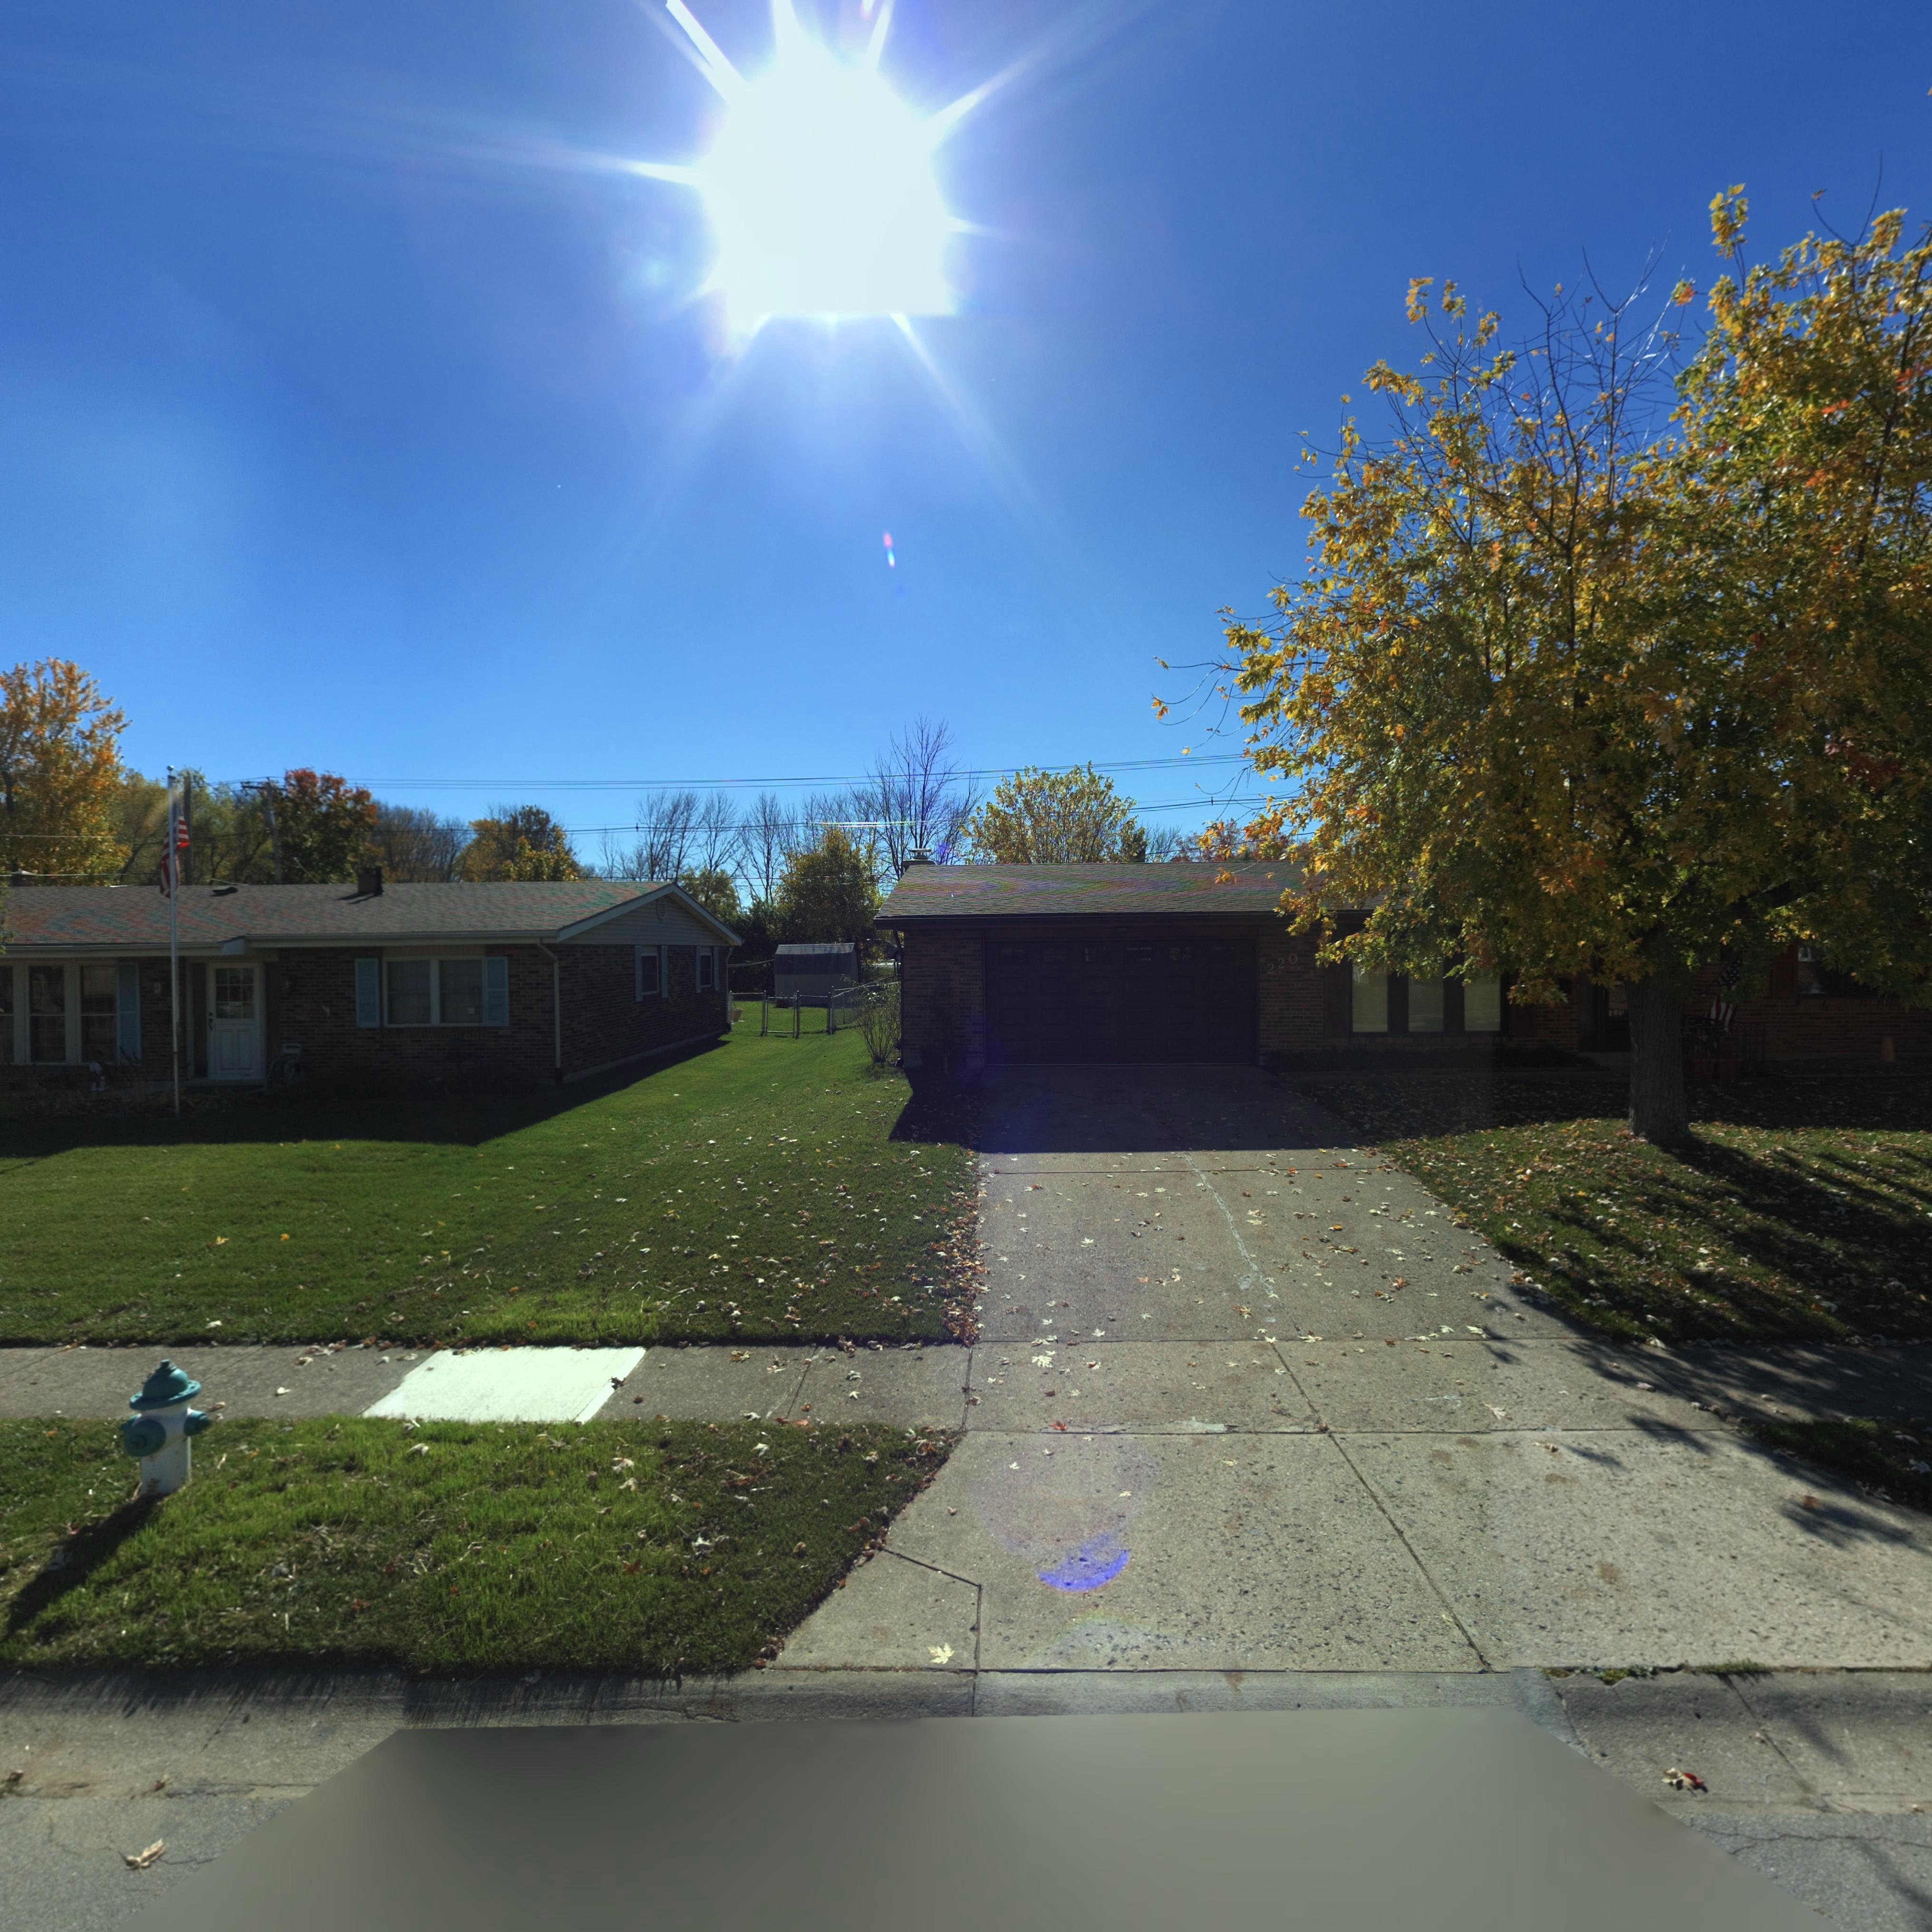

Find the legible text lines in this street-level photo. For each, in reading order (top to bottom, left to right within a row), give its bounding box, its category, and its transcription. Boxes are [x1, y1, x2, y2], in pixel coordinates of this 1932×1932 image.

[1266, 952, 1298, 974] StreetNumber: 220